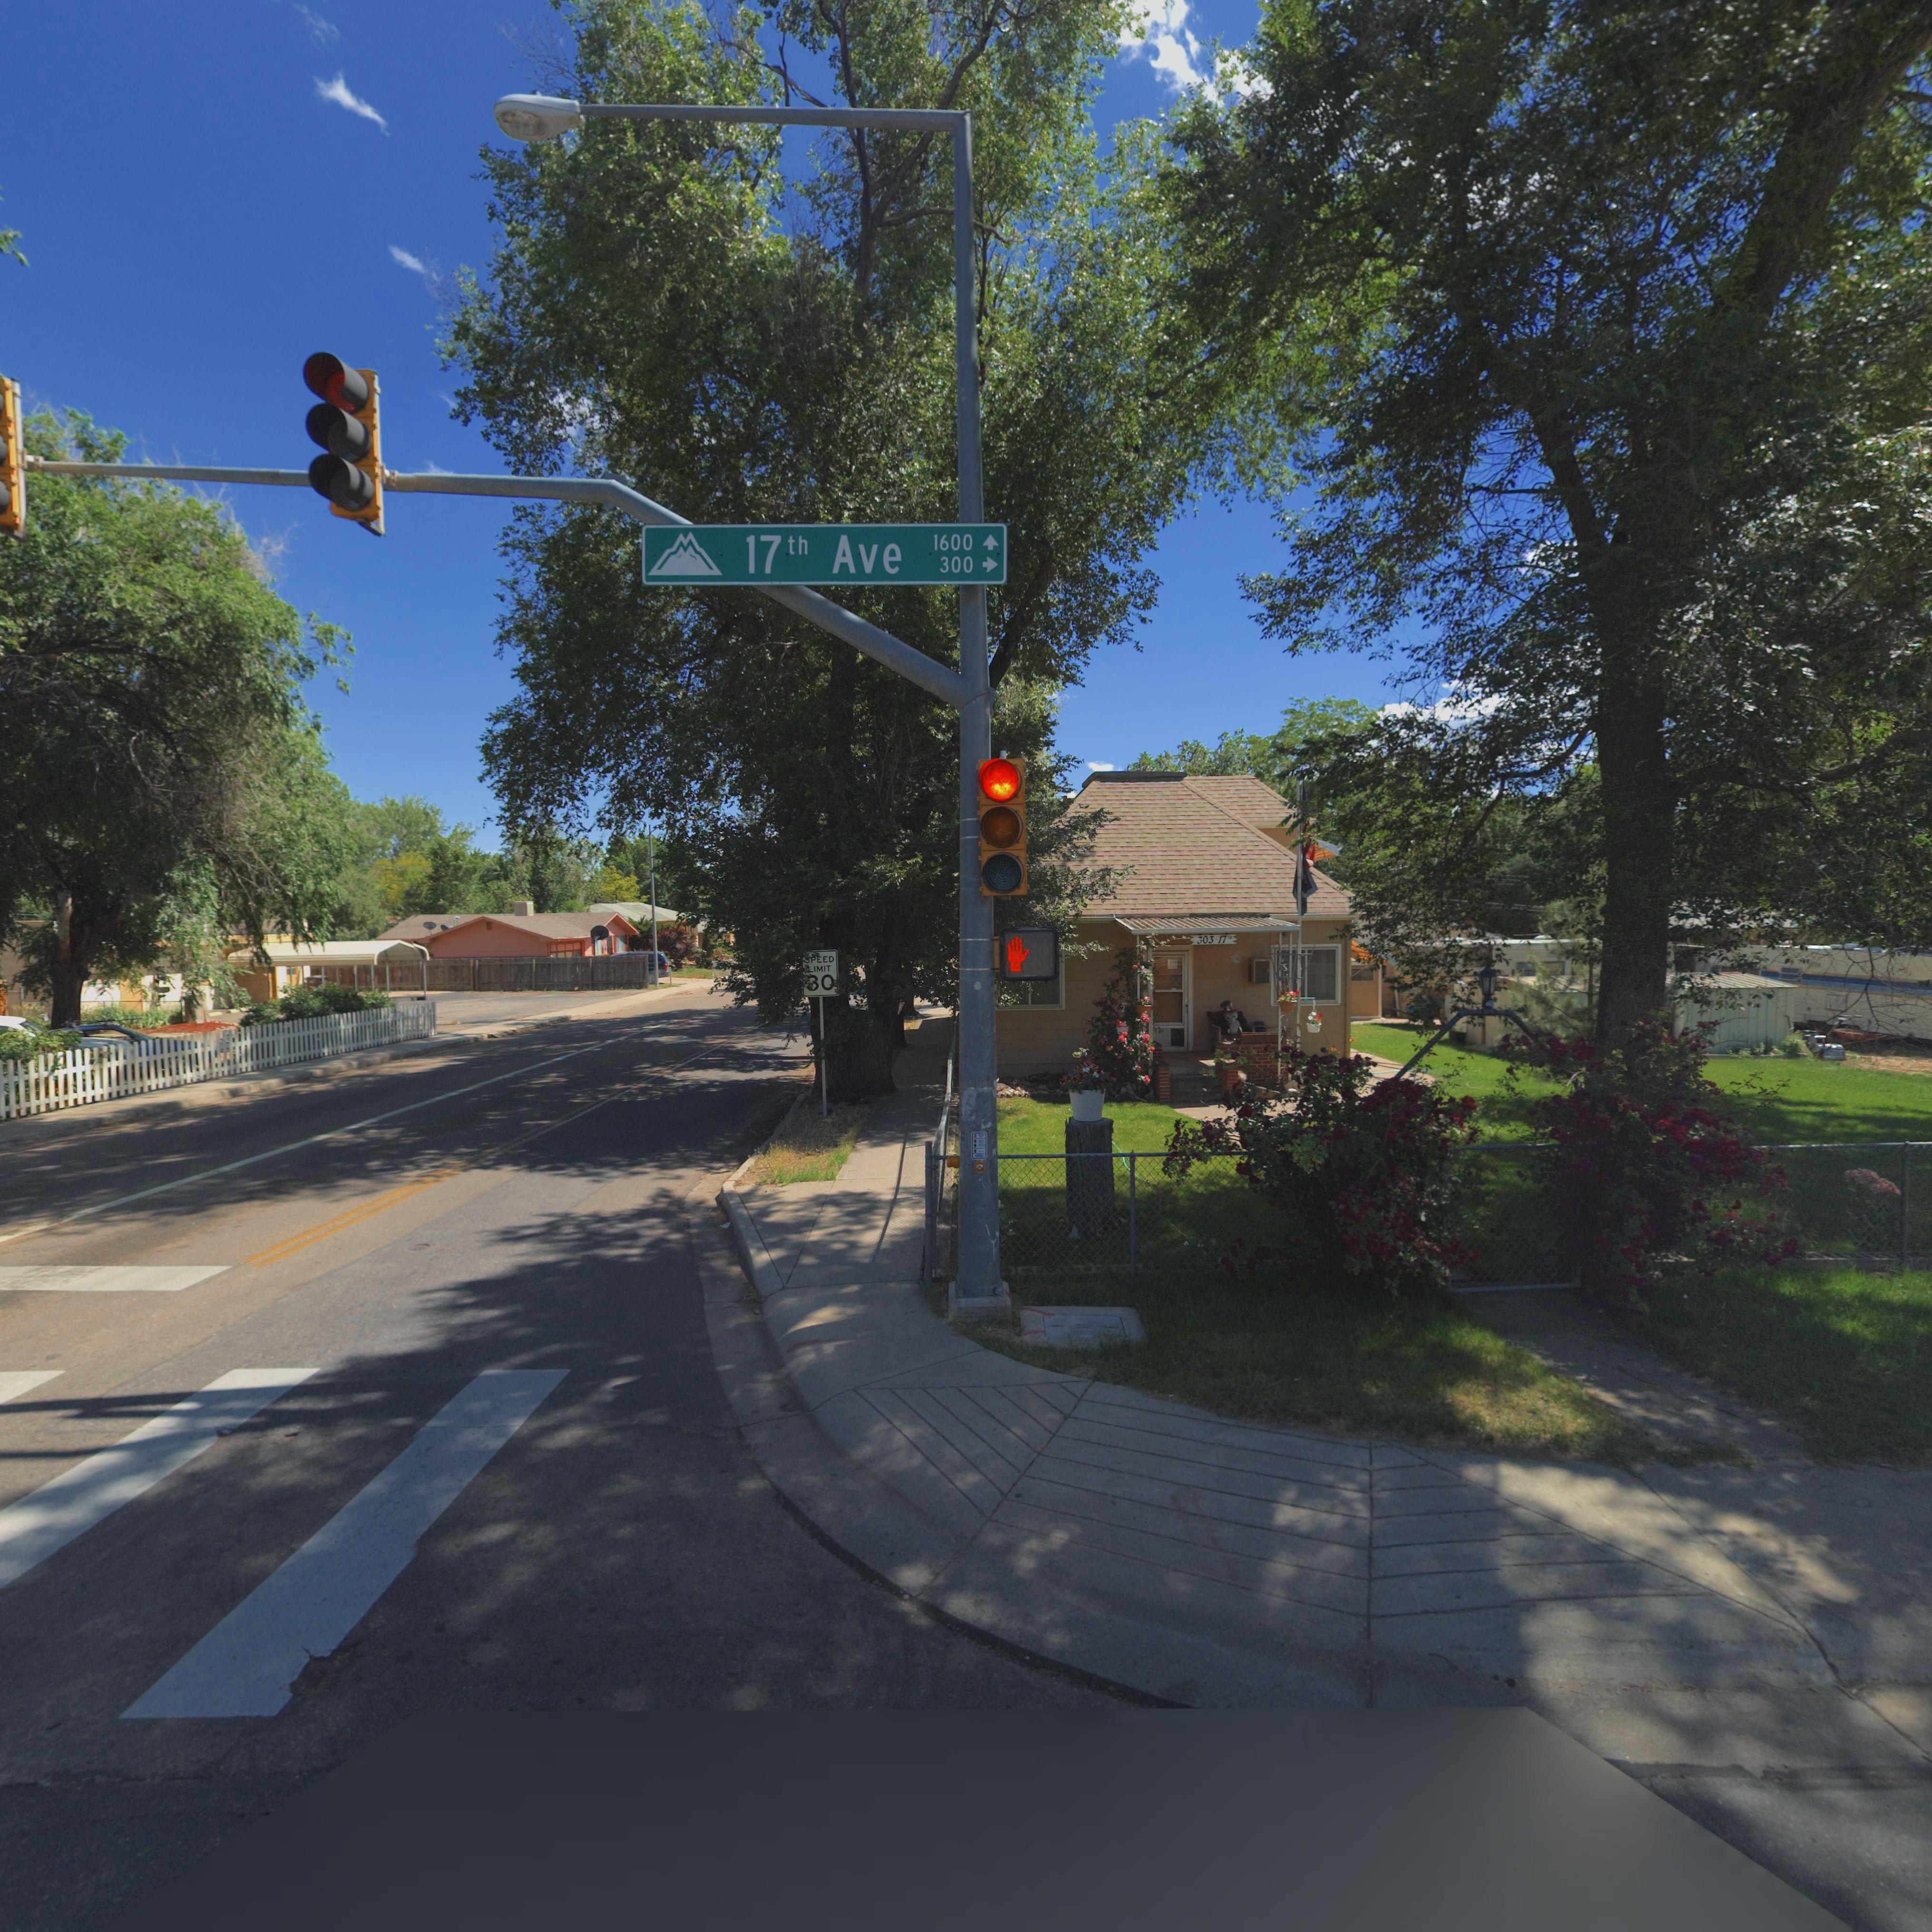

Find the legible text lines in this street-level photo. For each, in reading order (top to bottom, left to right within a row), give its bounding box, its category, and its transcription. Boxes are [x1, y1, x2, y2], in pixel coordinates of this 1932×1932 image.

[933, 533, 972, 551] StreetNumberRange: 1600
[745, 534, 902, 575] StreetName: 17th Ave
[939, 556, 999, 573] StreetNumberRange: 300->
[1197, 936, 1214, 944] StreetNumber: 303
[1218, 935, 1232, 943] StreetName: 17TH 